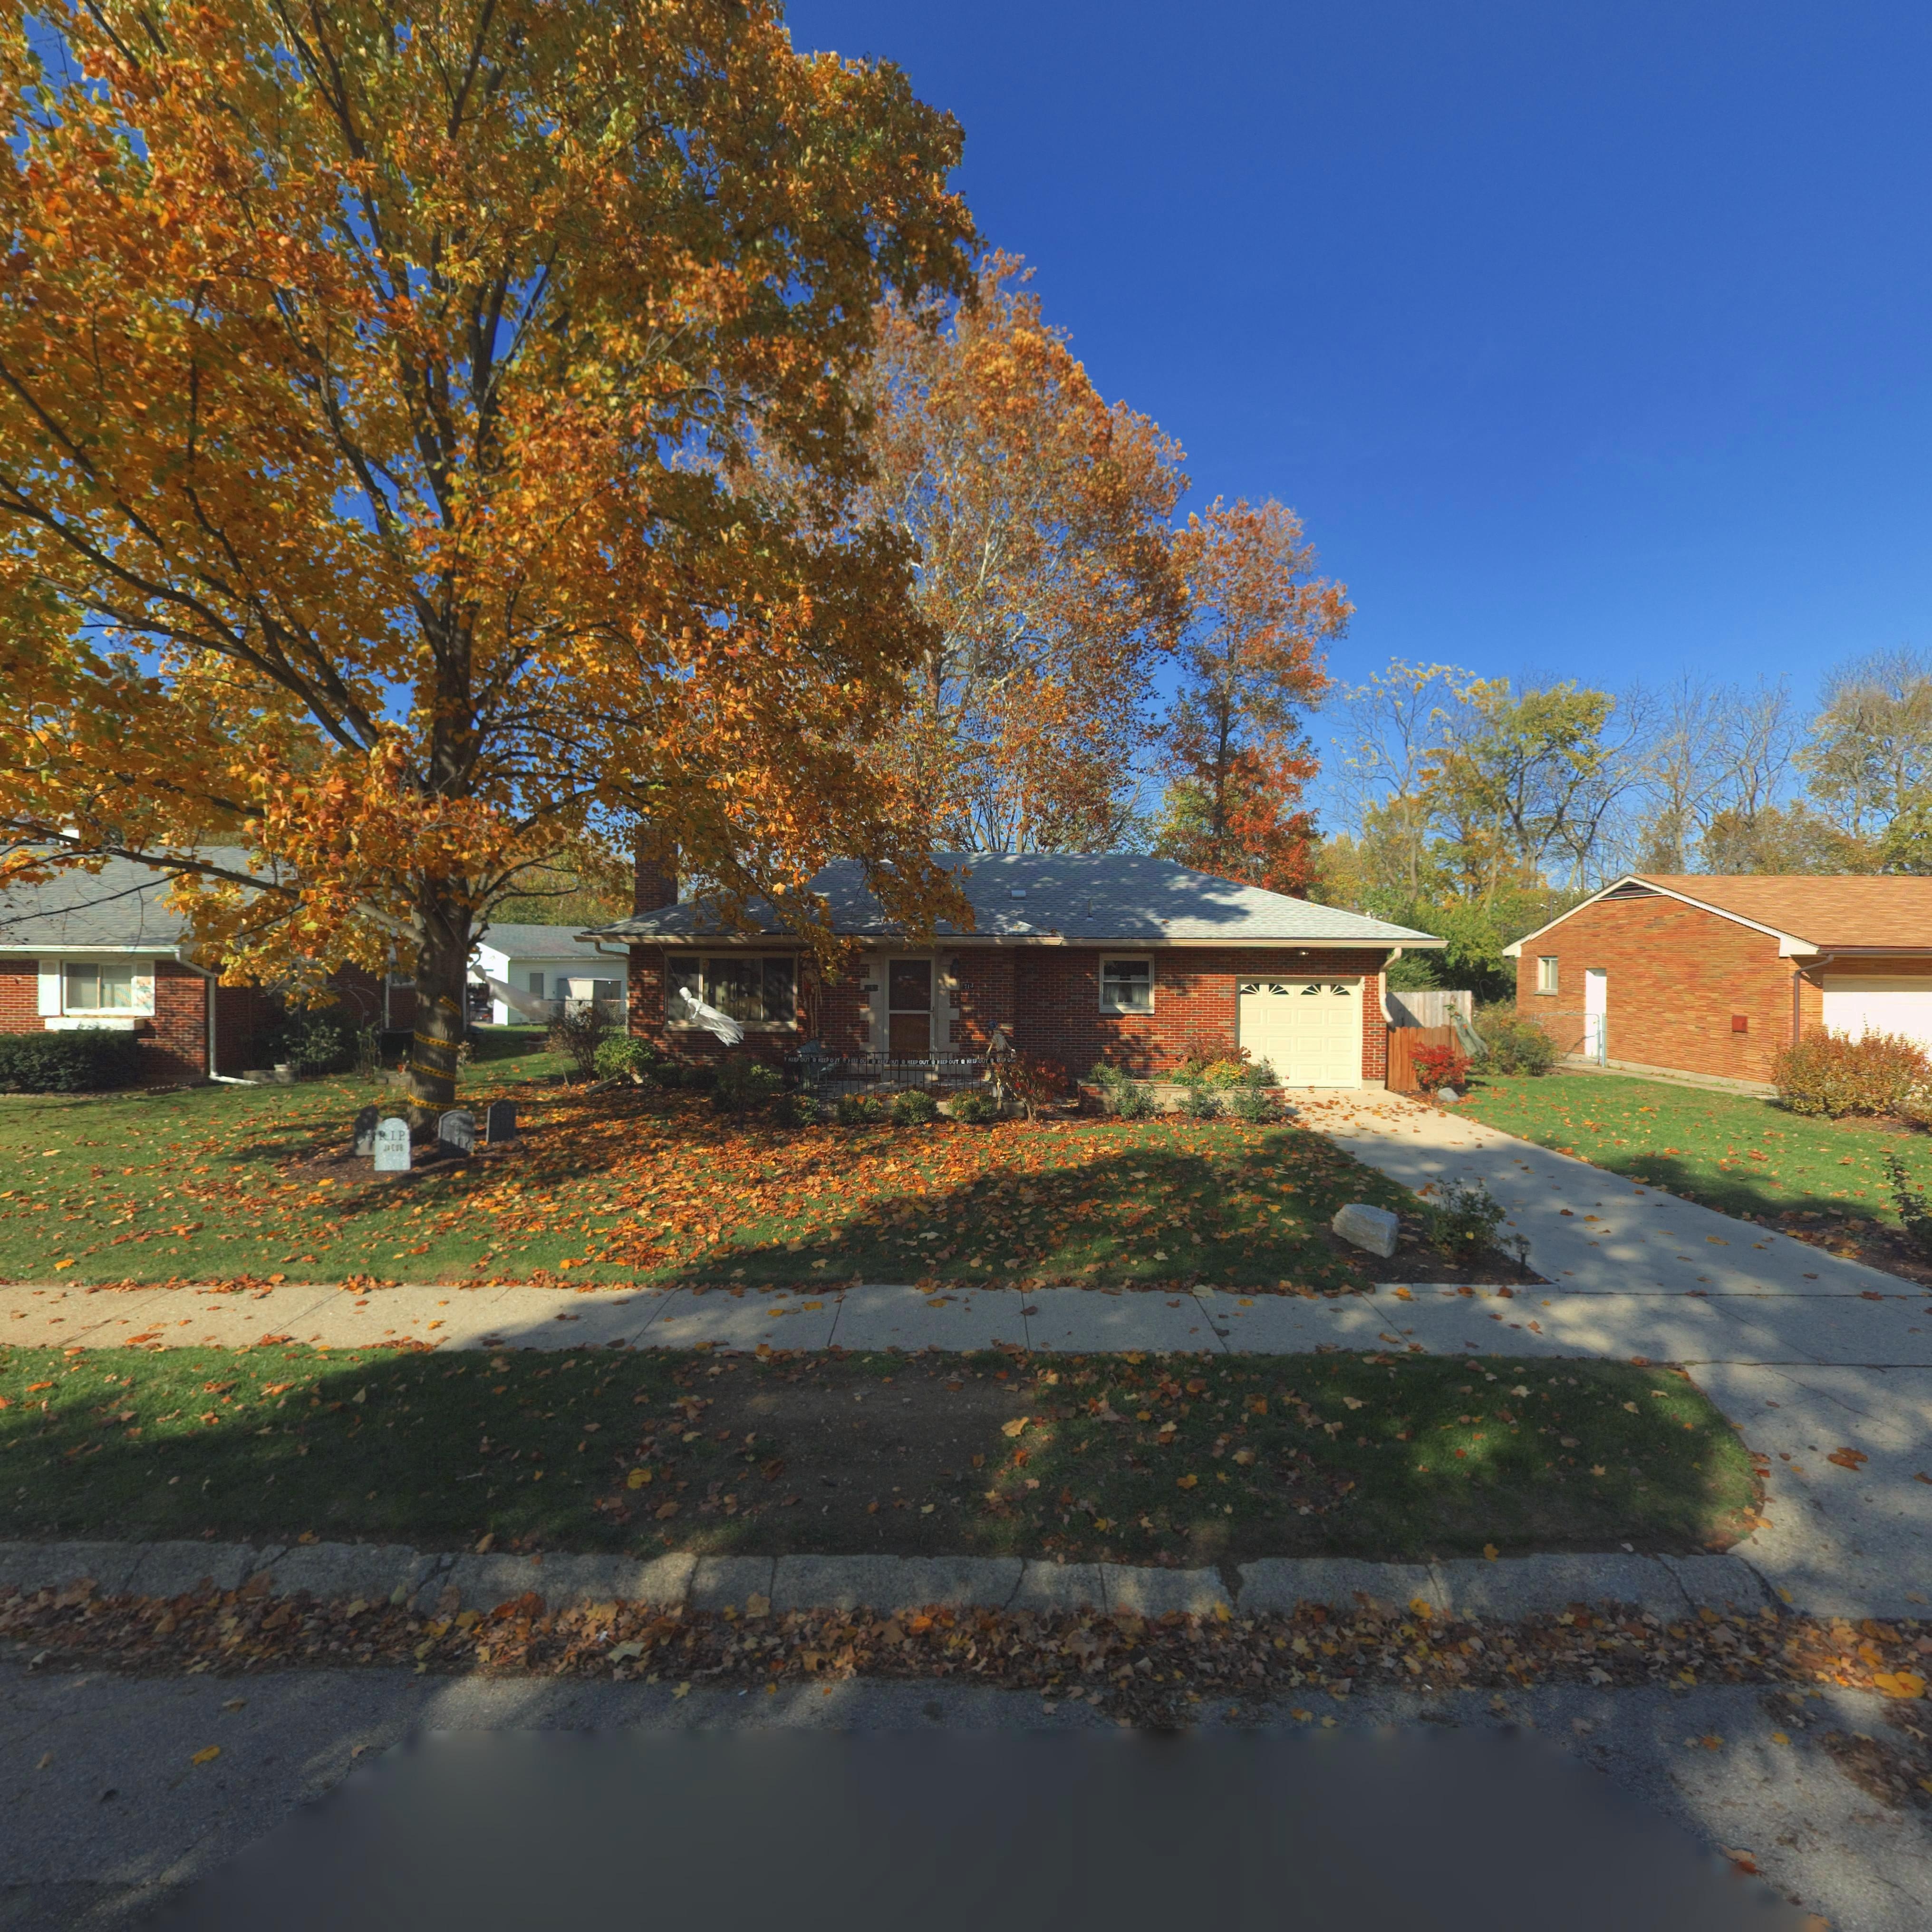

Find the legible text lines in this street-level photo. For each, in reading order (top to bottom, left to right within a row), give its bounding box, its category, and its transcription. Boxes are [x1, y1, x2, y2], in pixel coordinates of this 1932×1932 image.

[964, 982, 975, 990] StreetNumber: 713